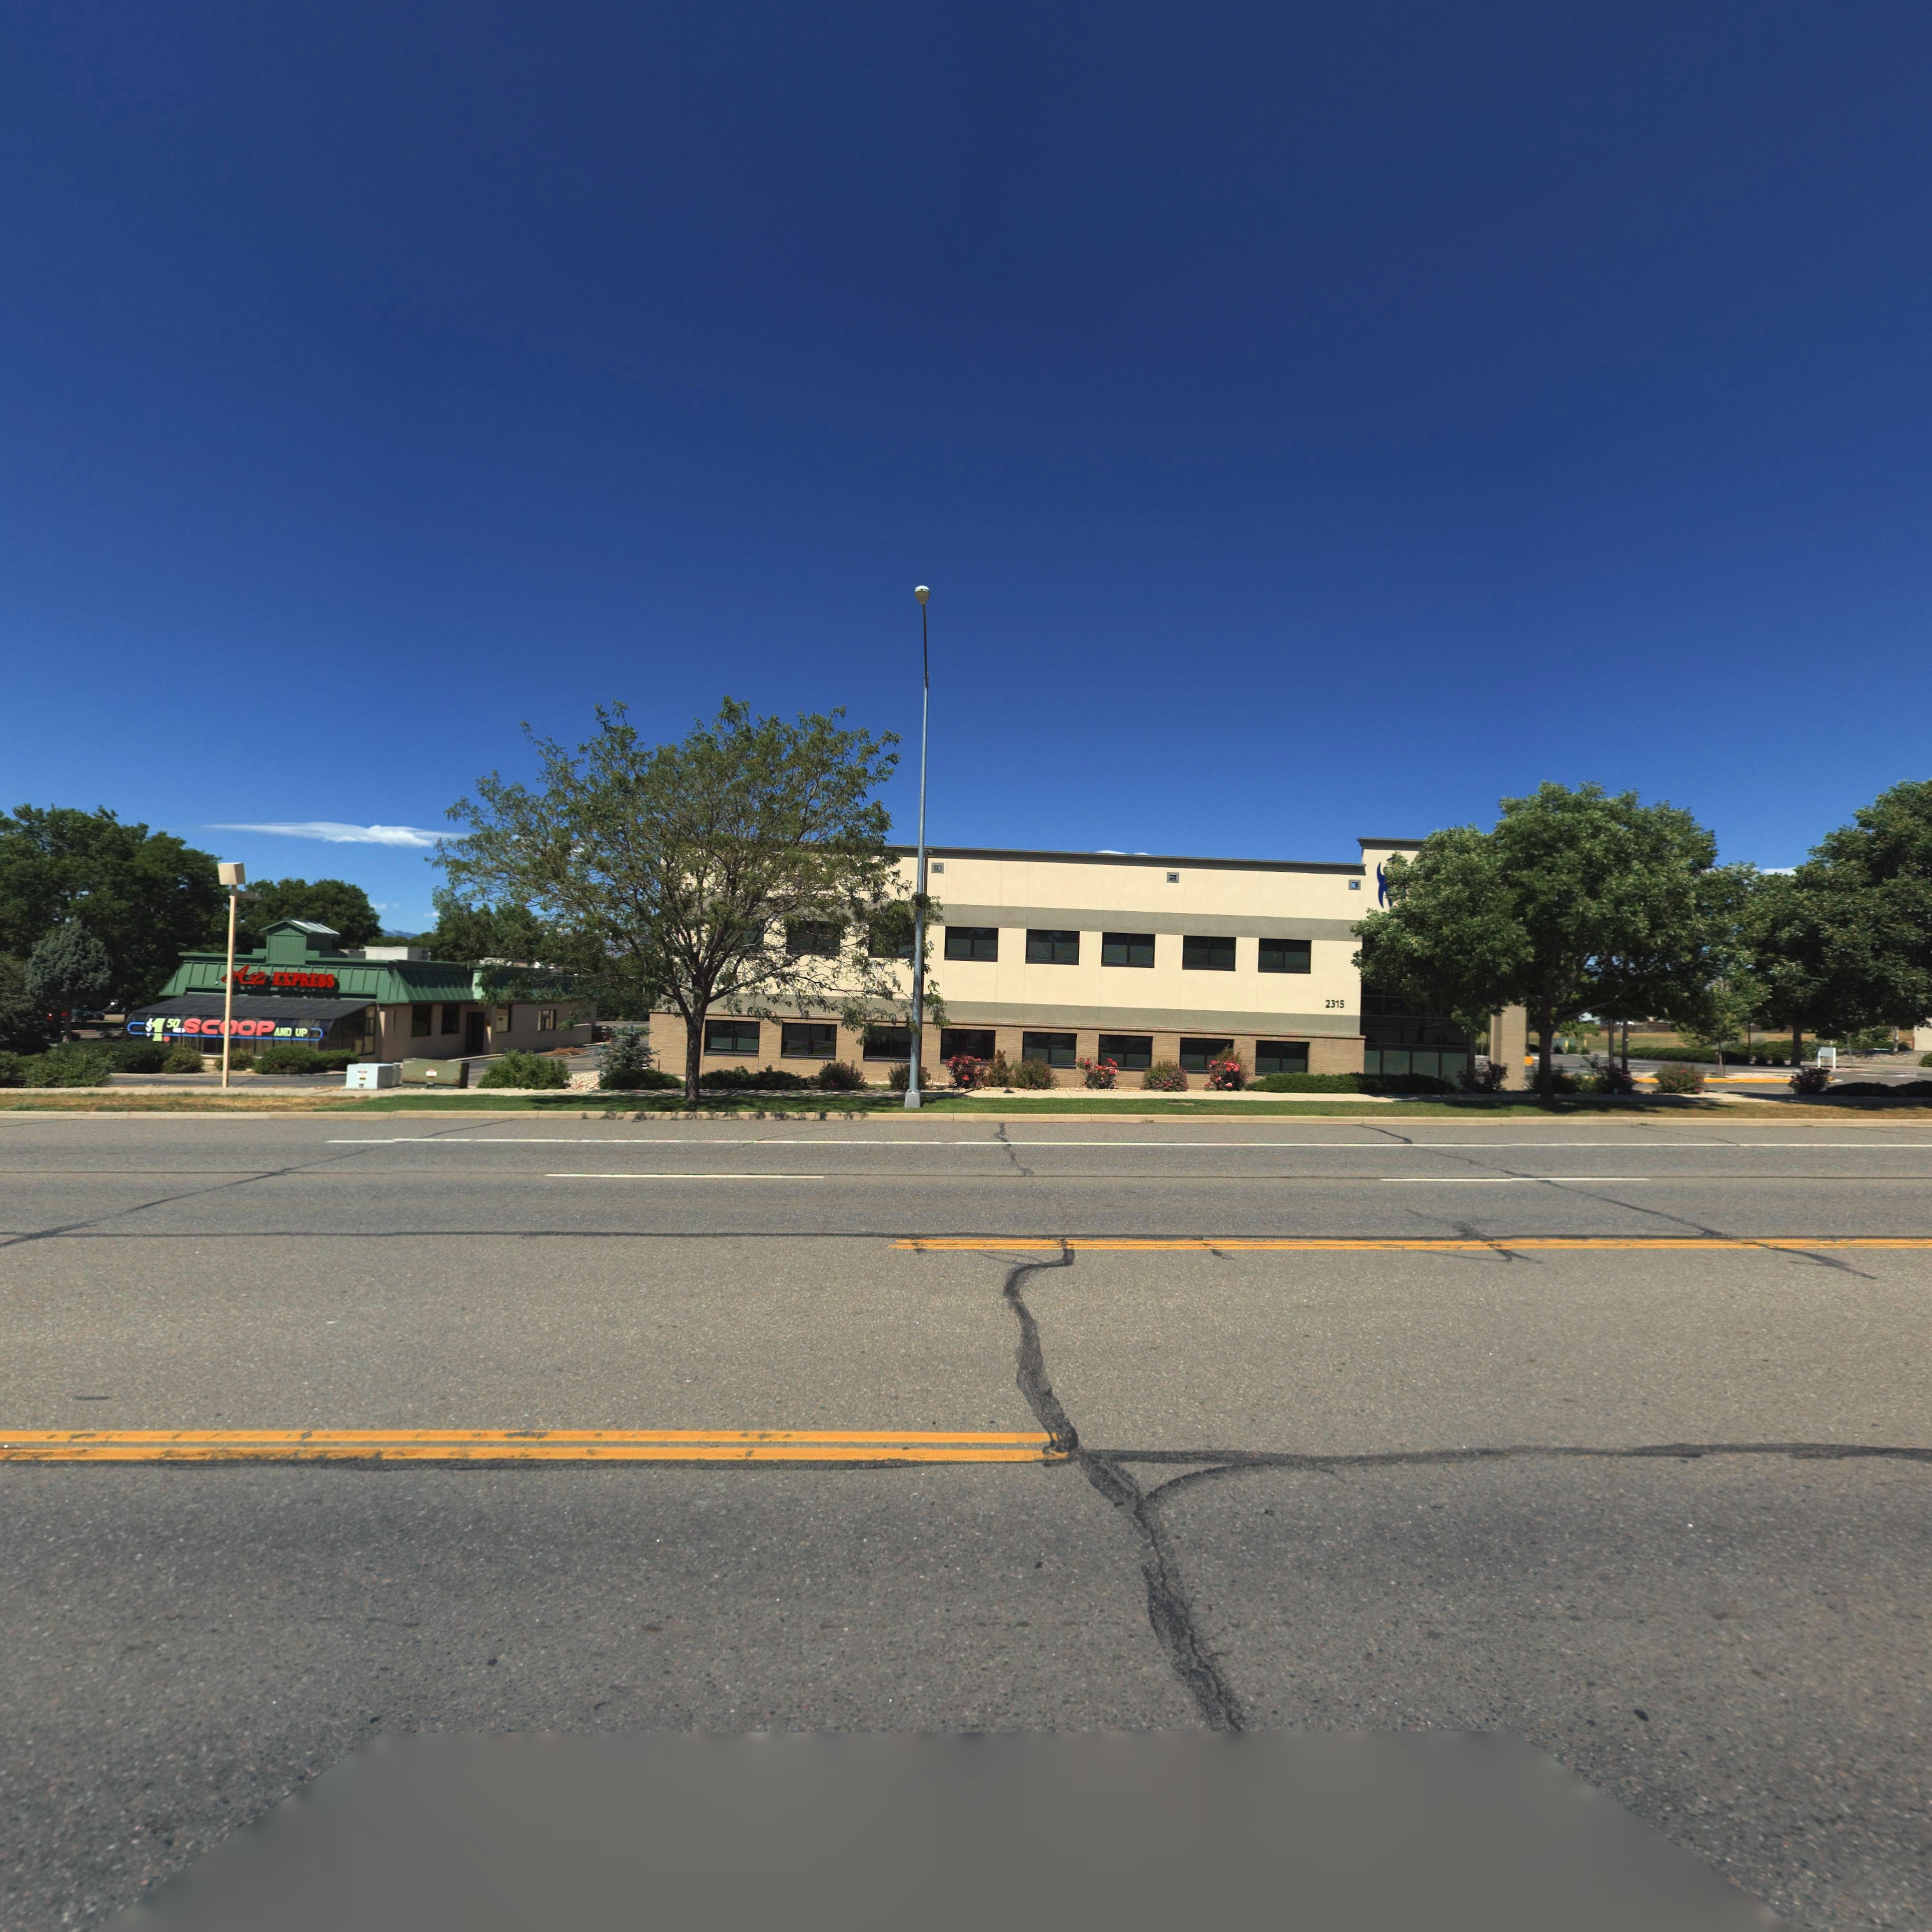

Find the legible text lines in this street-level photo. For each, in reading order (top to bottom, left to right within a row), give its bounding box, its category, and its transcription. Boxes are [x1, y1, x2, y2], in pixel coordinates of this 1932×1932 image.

[221, 963, 269, 985] BusinessName: ALi
[271, 971, 335, 988] BusinessName: EXPRESS
[1325, 999, 1344, 1008] StreetNumber: 2315